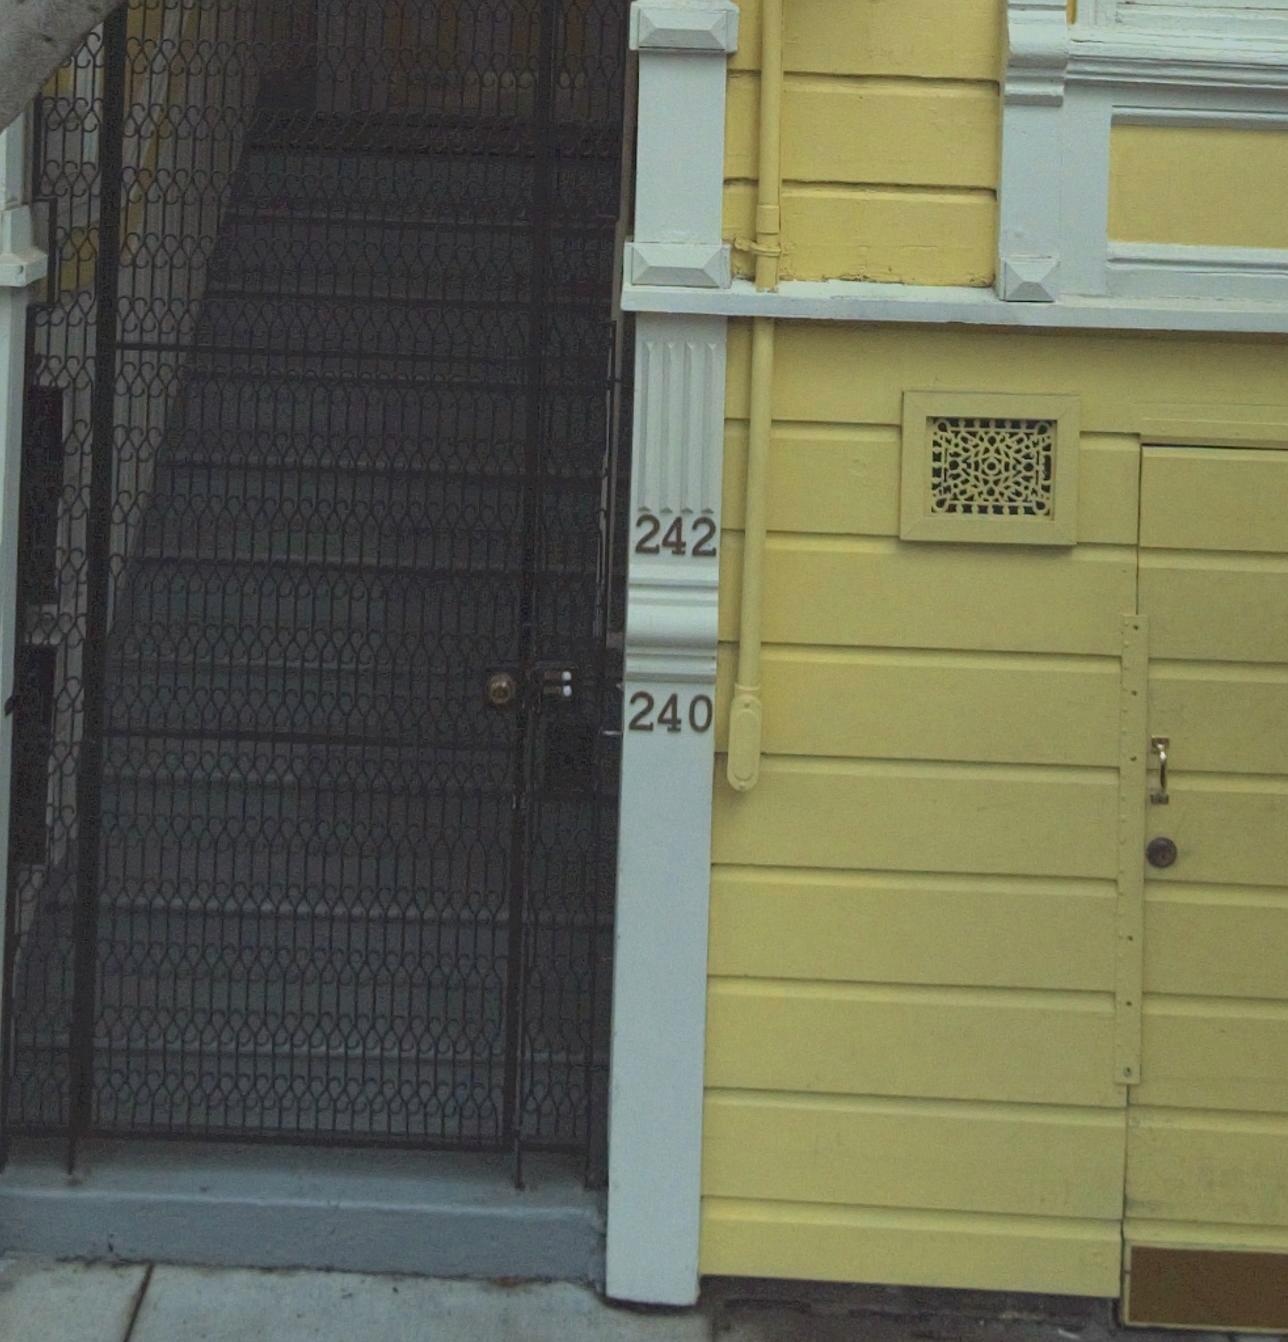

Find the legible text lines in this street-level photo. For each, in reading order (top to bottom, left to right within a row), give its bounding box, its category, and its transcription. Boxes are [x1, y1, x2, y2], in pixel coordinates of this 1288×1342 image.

[631, 510, 721, 561] StreetNumber: 242
[623, 686, 717, 738] StreetNumber: 240